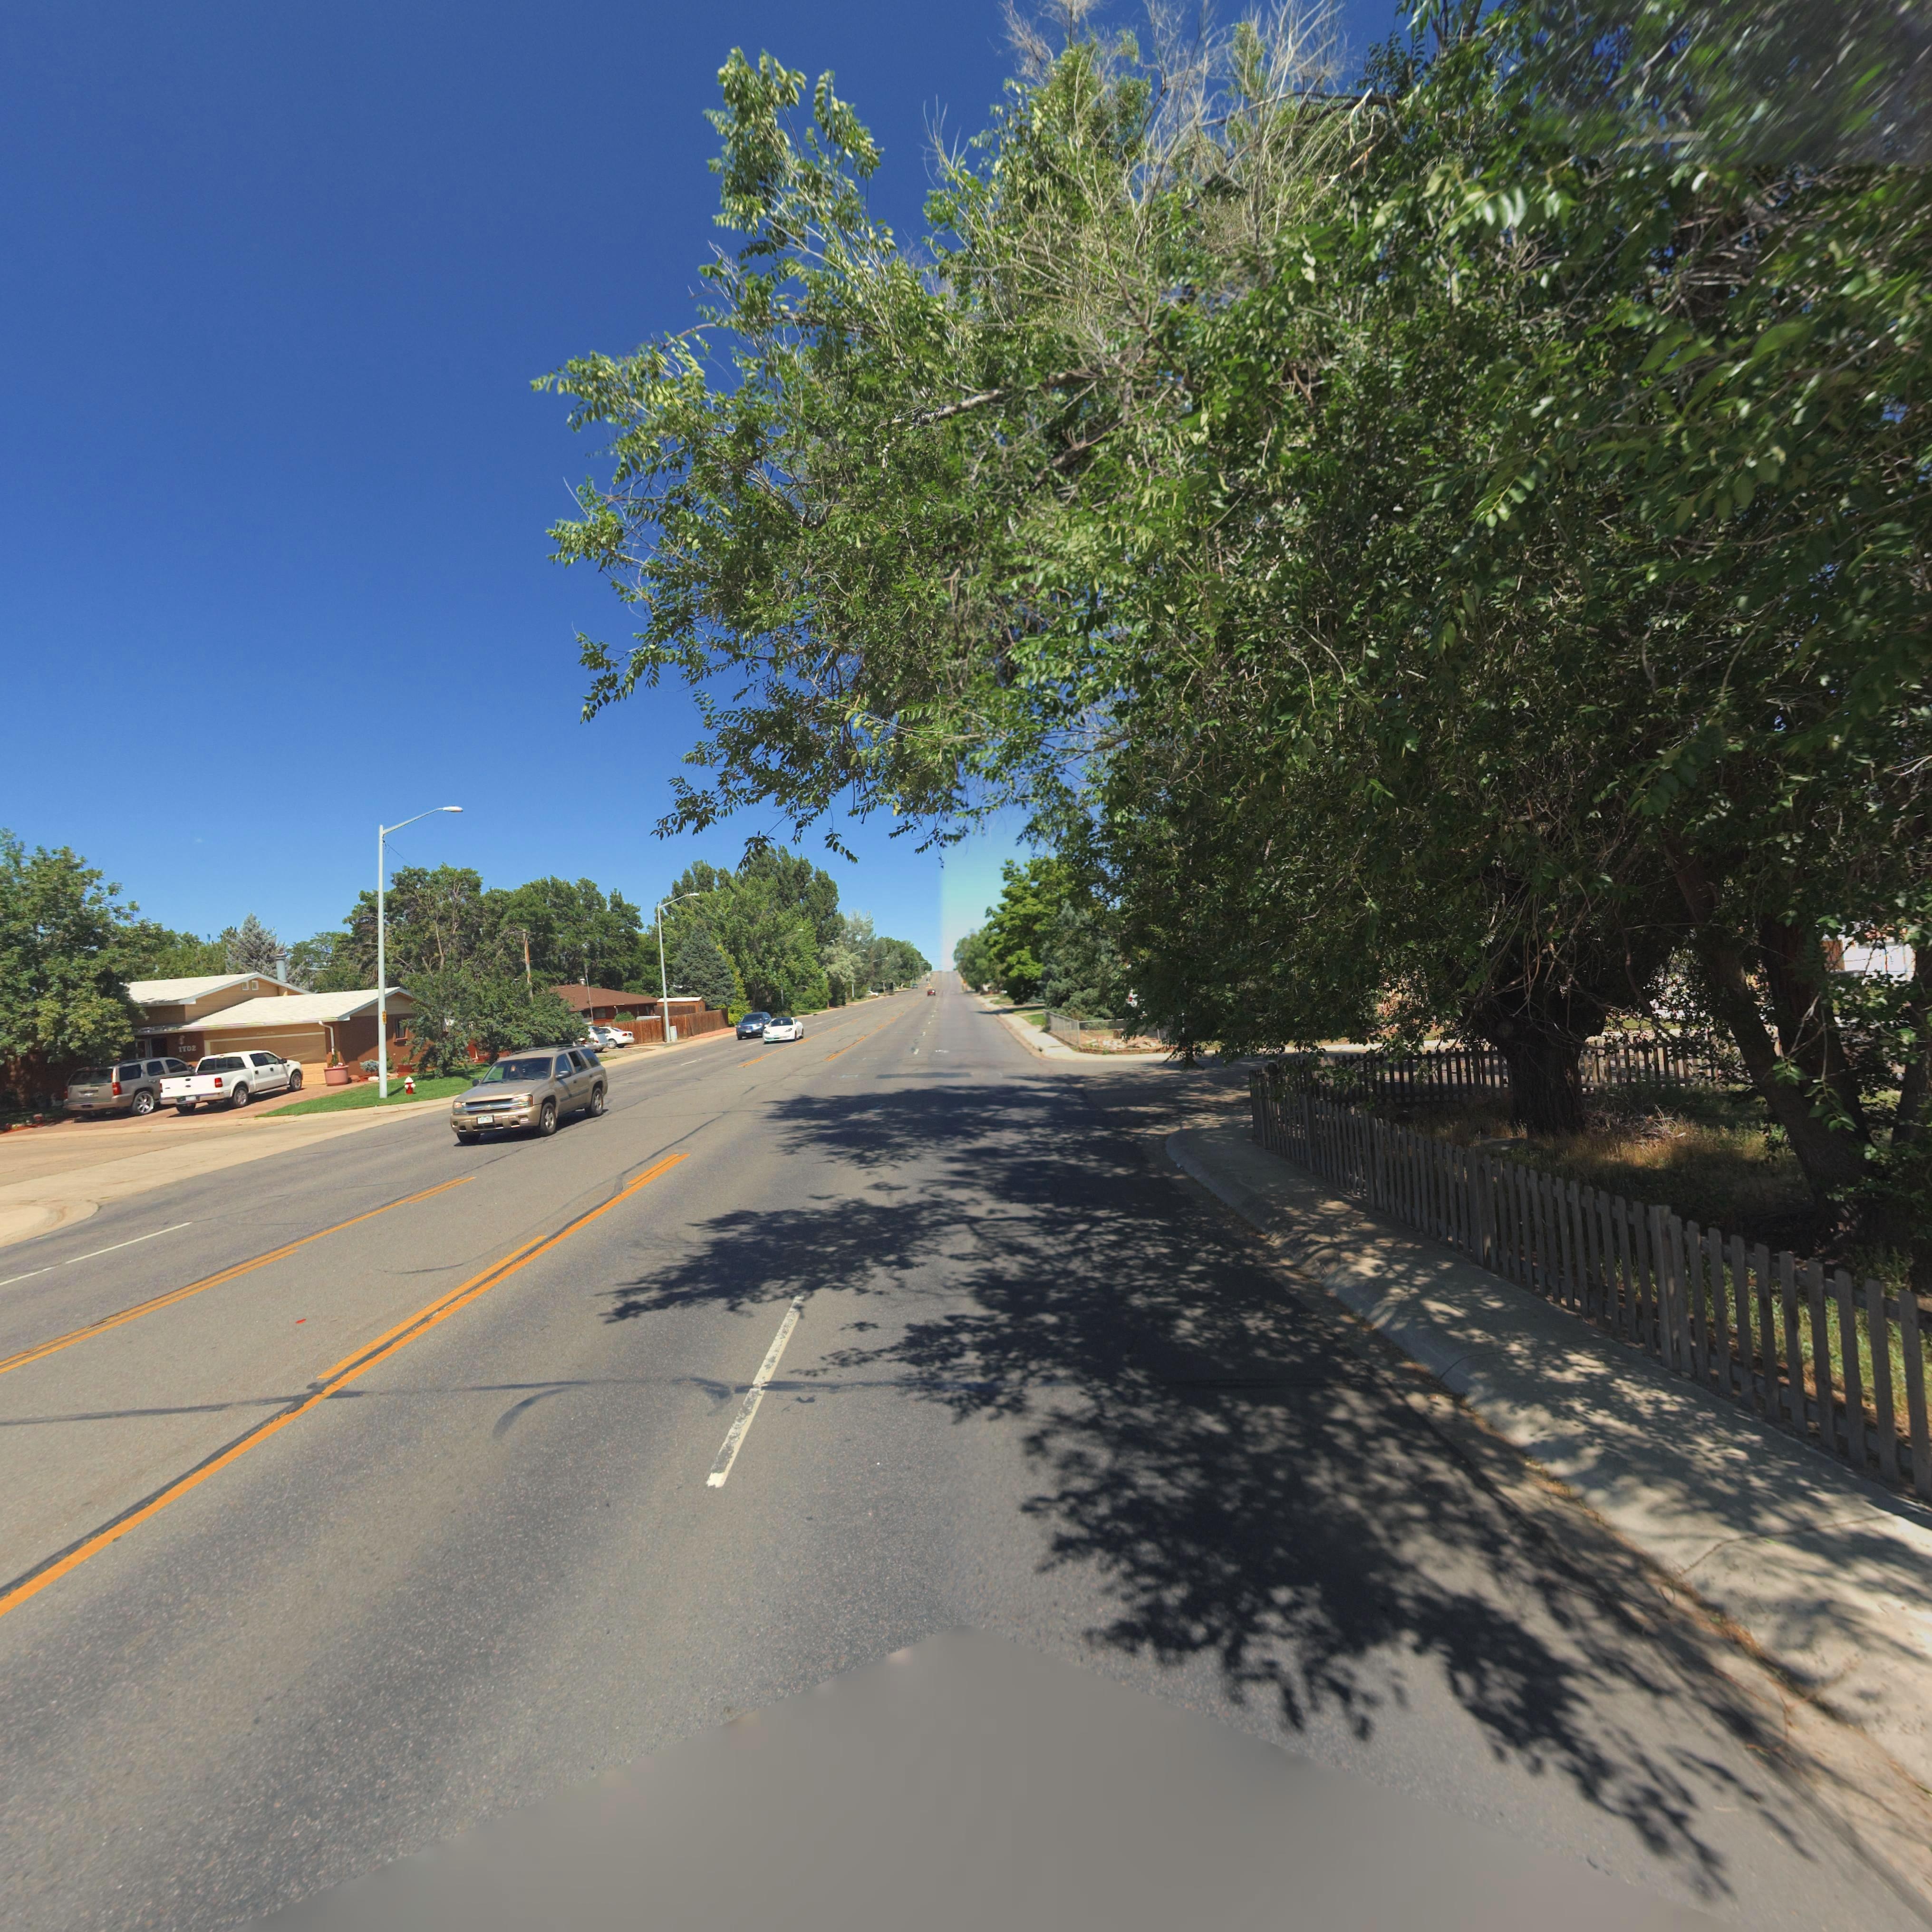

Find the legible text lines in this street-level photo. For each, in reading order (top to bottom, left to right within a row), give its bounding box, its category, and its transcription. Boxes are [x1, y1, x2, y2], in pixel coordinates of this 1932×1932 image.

[178, 1045, 196, 1052] StreetNumber: 1702